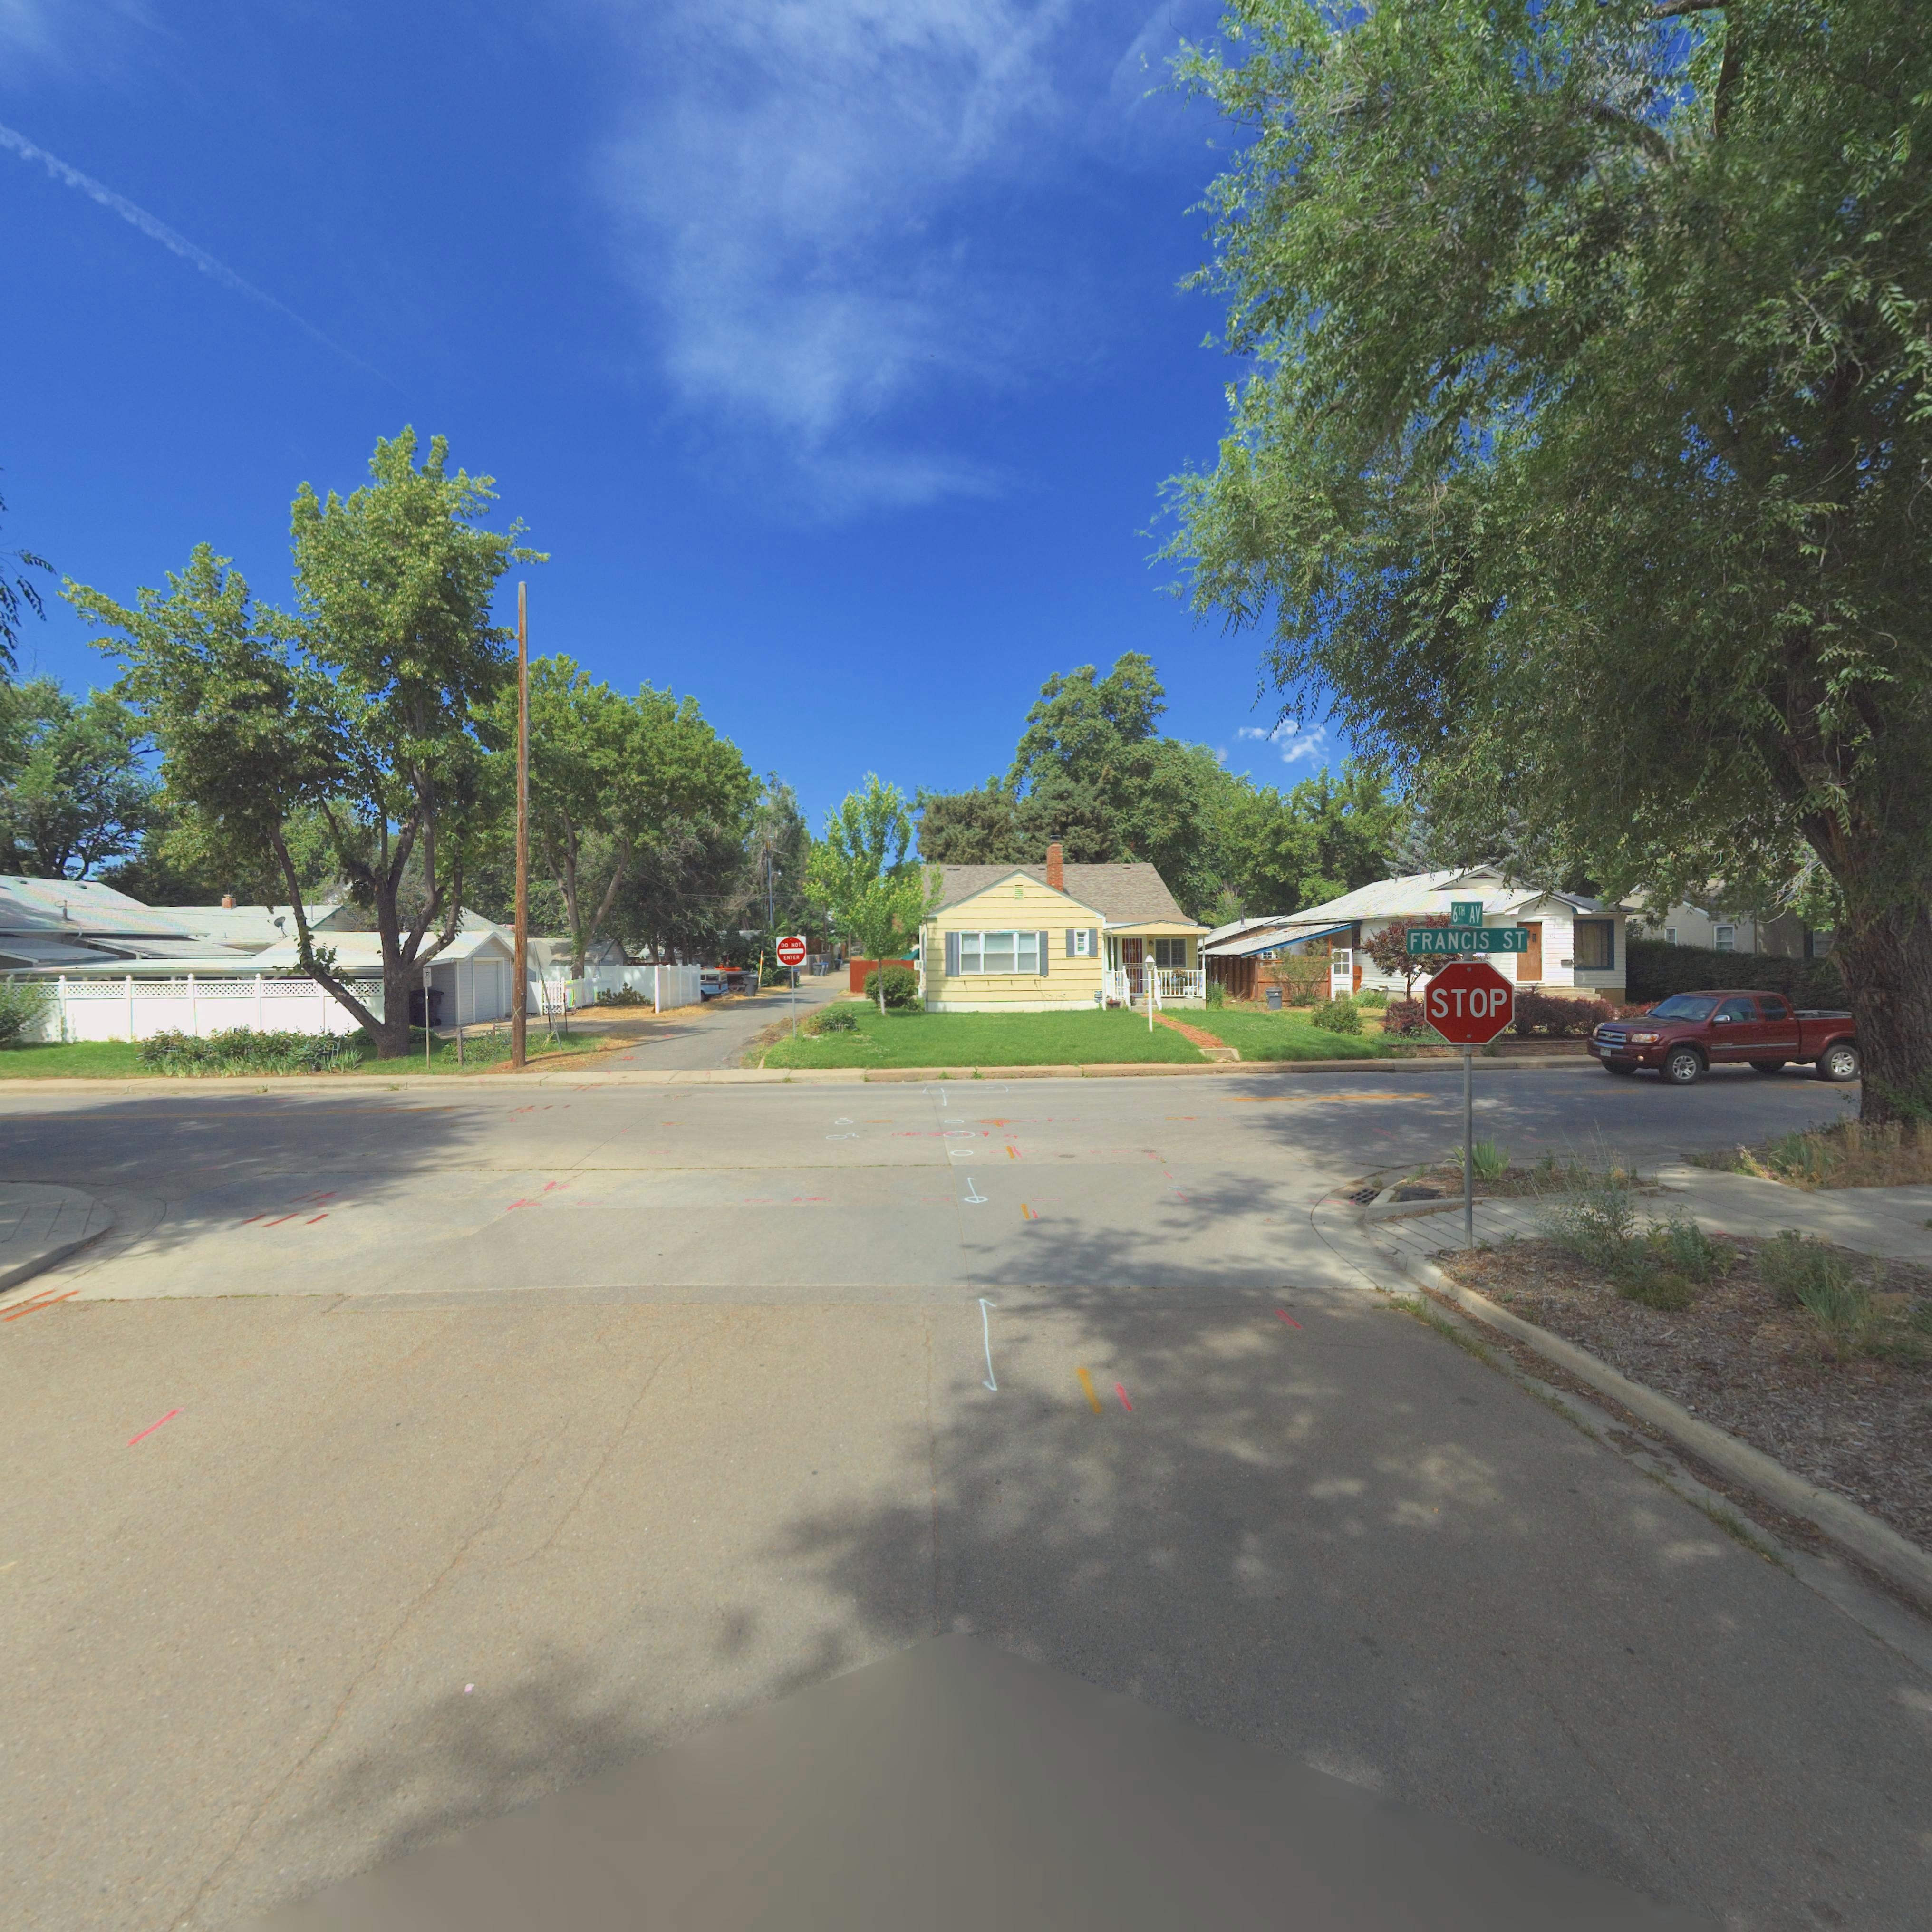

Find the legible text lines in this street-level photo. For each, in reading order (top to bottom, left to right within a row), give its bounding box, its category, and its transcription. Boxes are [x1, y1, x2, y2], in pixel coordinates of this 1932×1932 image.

[1452, 904, 1481, 923] StreetName: 6TH AV
[1410, 930, 1525, 950] StreetName: FRANCIS ST